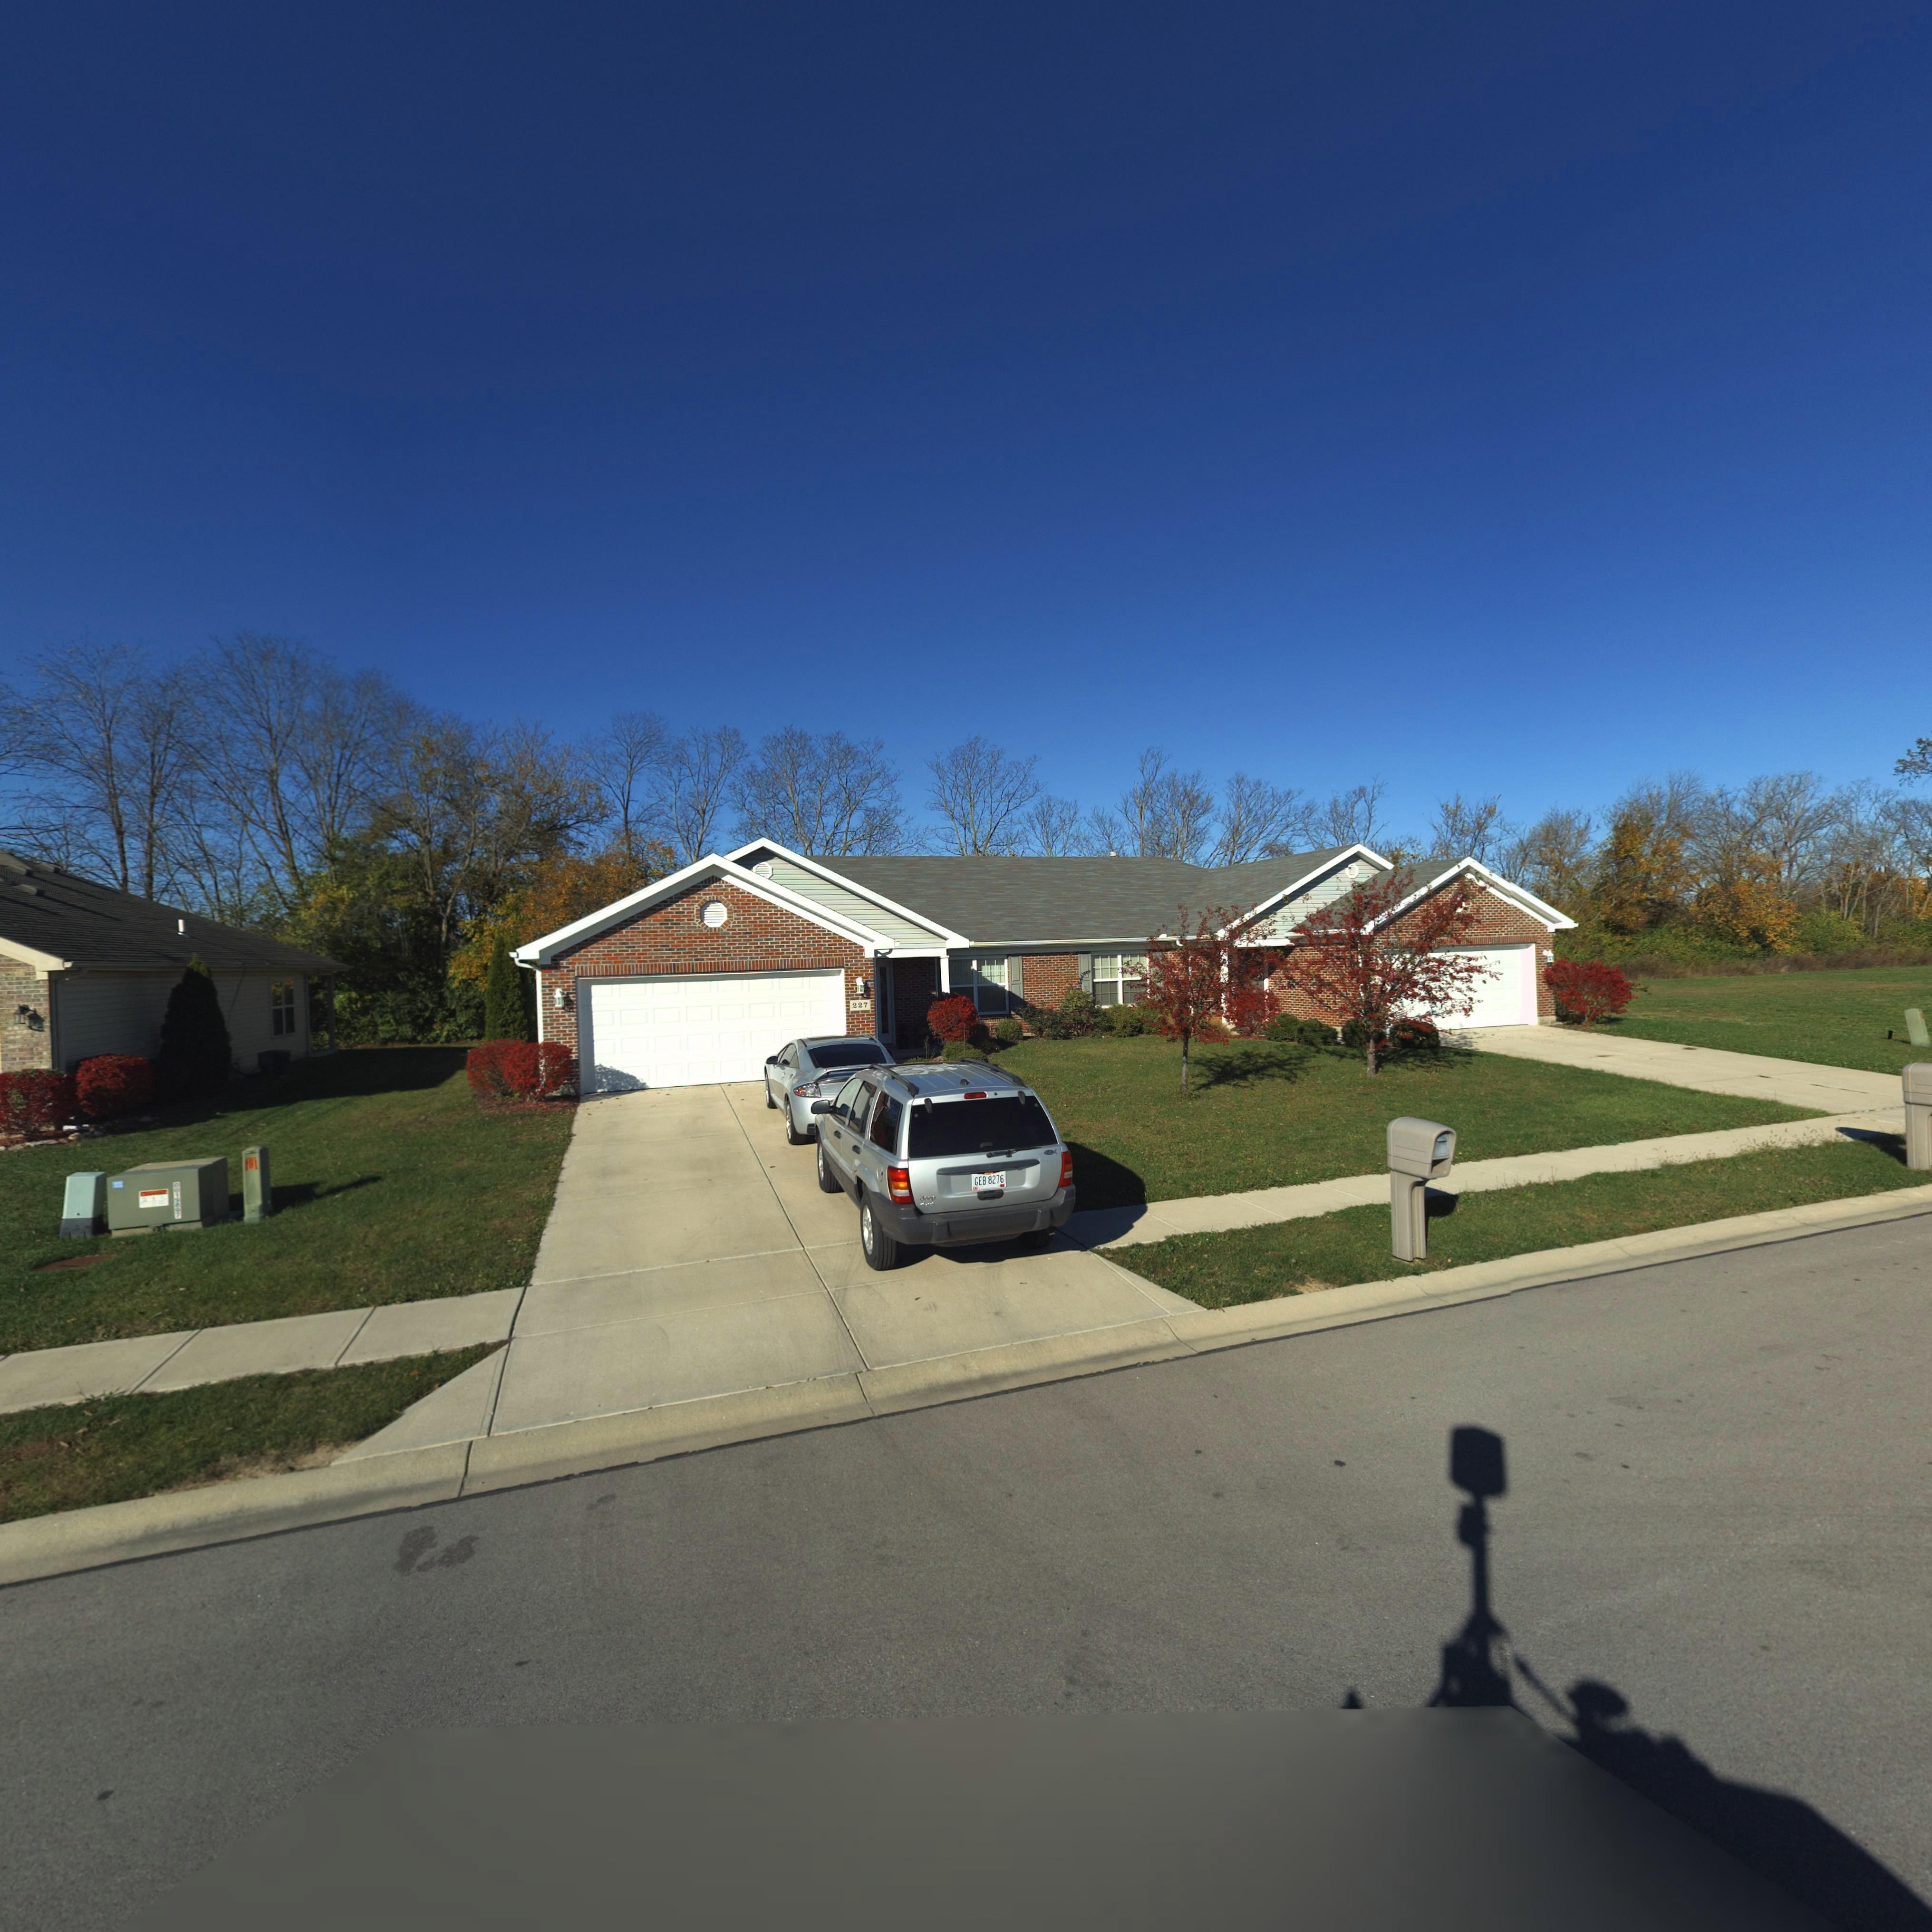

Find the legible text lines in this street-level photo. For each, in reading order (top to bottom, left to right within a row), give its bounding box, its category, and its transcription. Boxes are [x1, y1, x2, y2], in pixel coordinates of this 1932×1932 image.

[851, 1001, 869, 1009] StreetNumber: 227